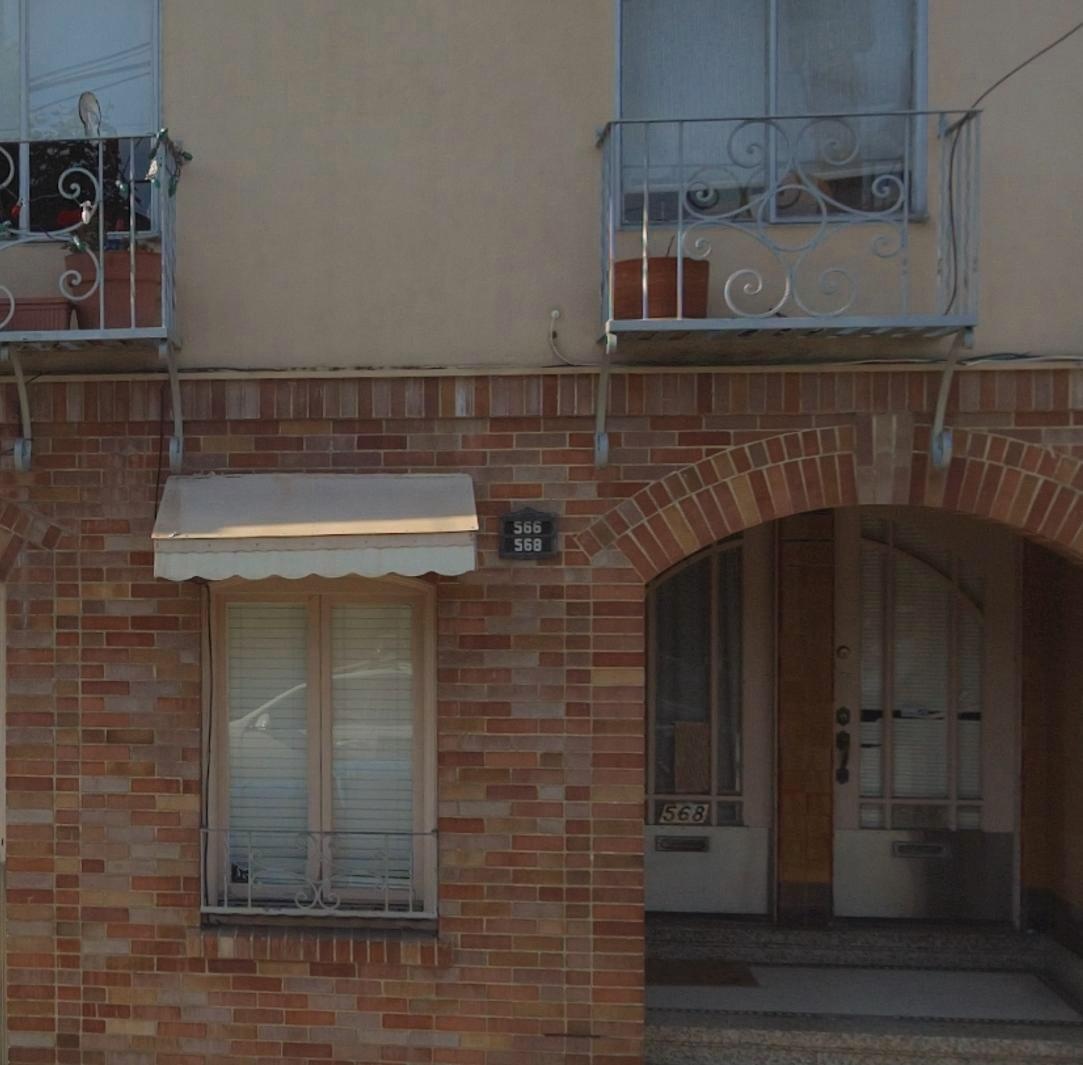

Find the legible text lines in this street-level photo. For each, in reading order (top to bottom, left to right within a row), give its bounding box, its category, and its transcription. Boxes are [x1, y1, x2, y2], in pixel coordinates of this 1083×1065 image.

[511, 519, 543, 536] StreetNumber: 566
[512, 535, 542, 553] StreetNumber: 568
[662, 803, 705, 822] StreetNumber: 568